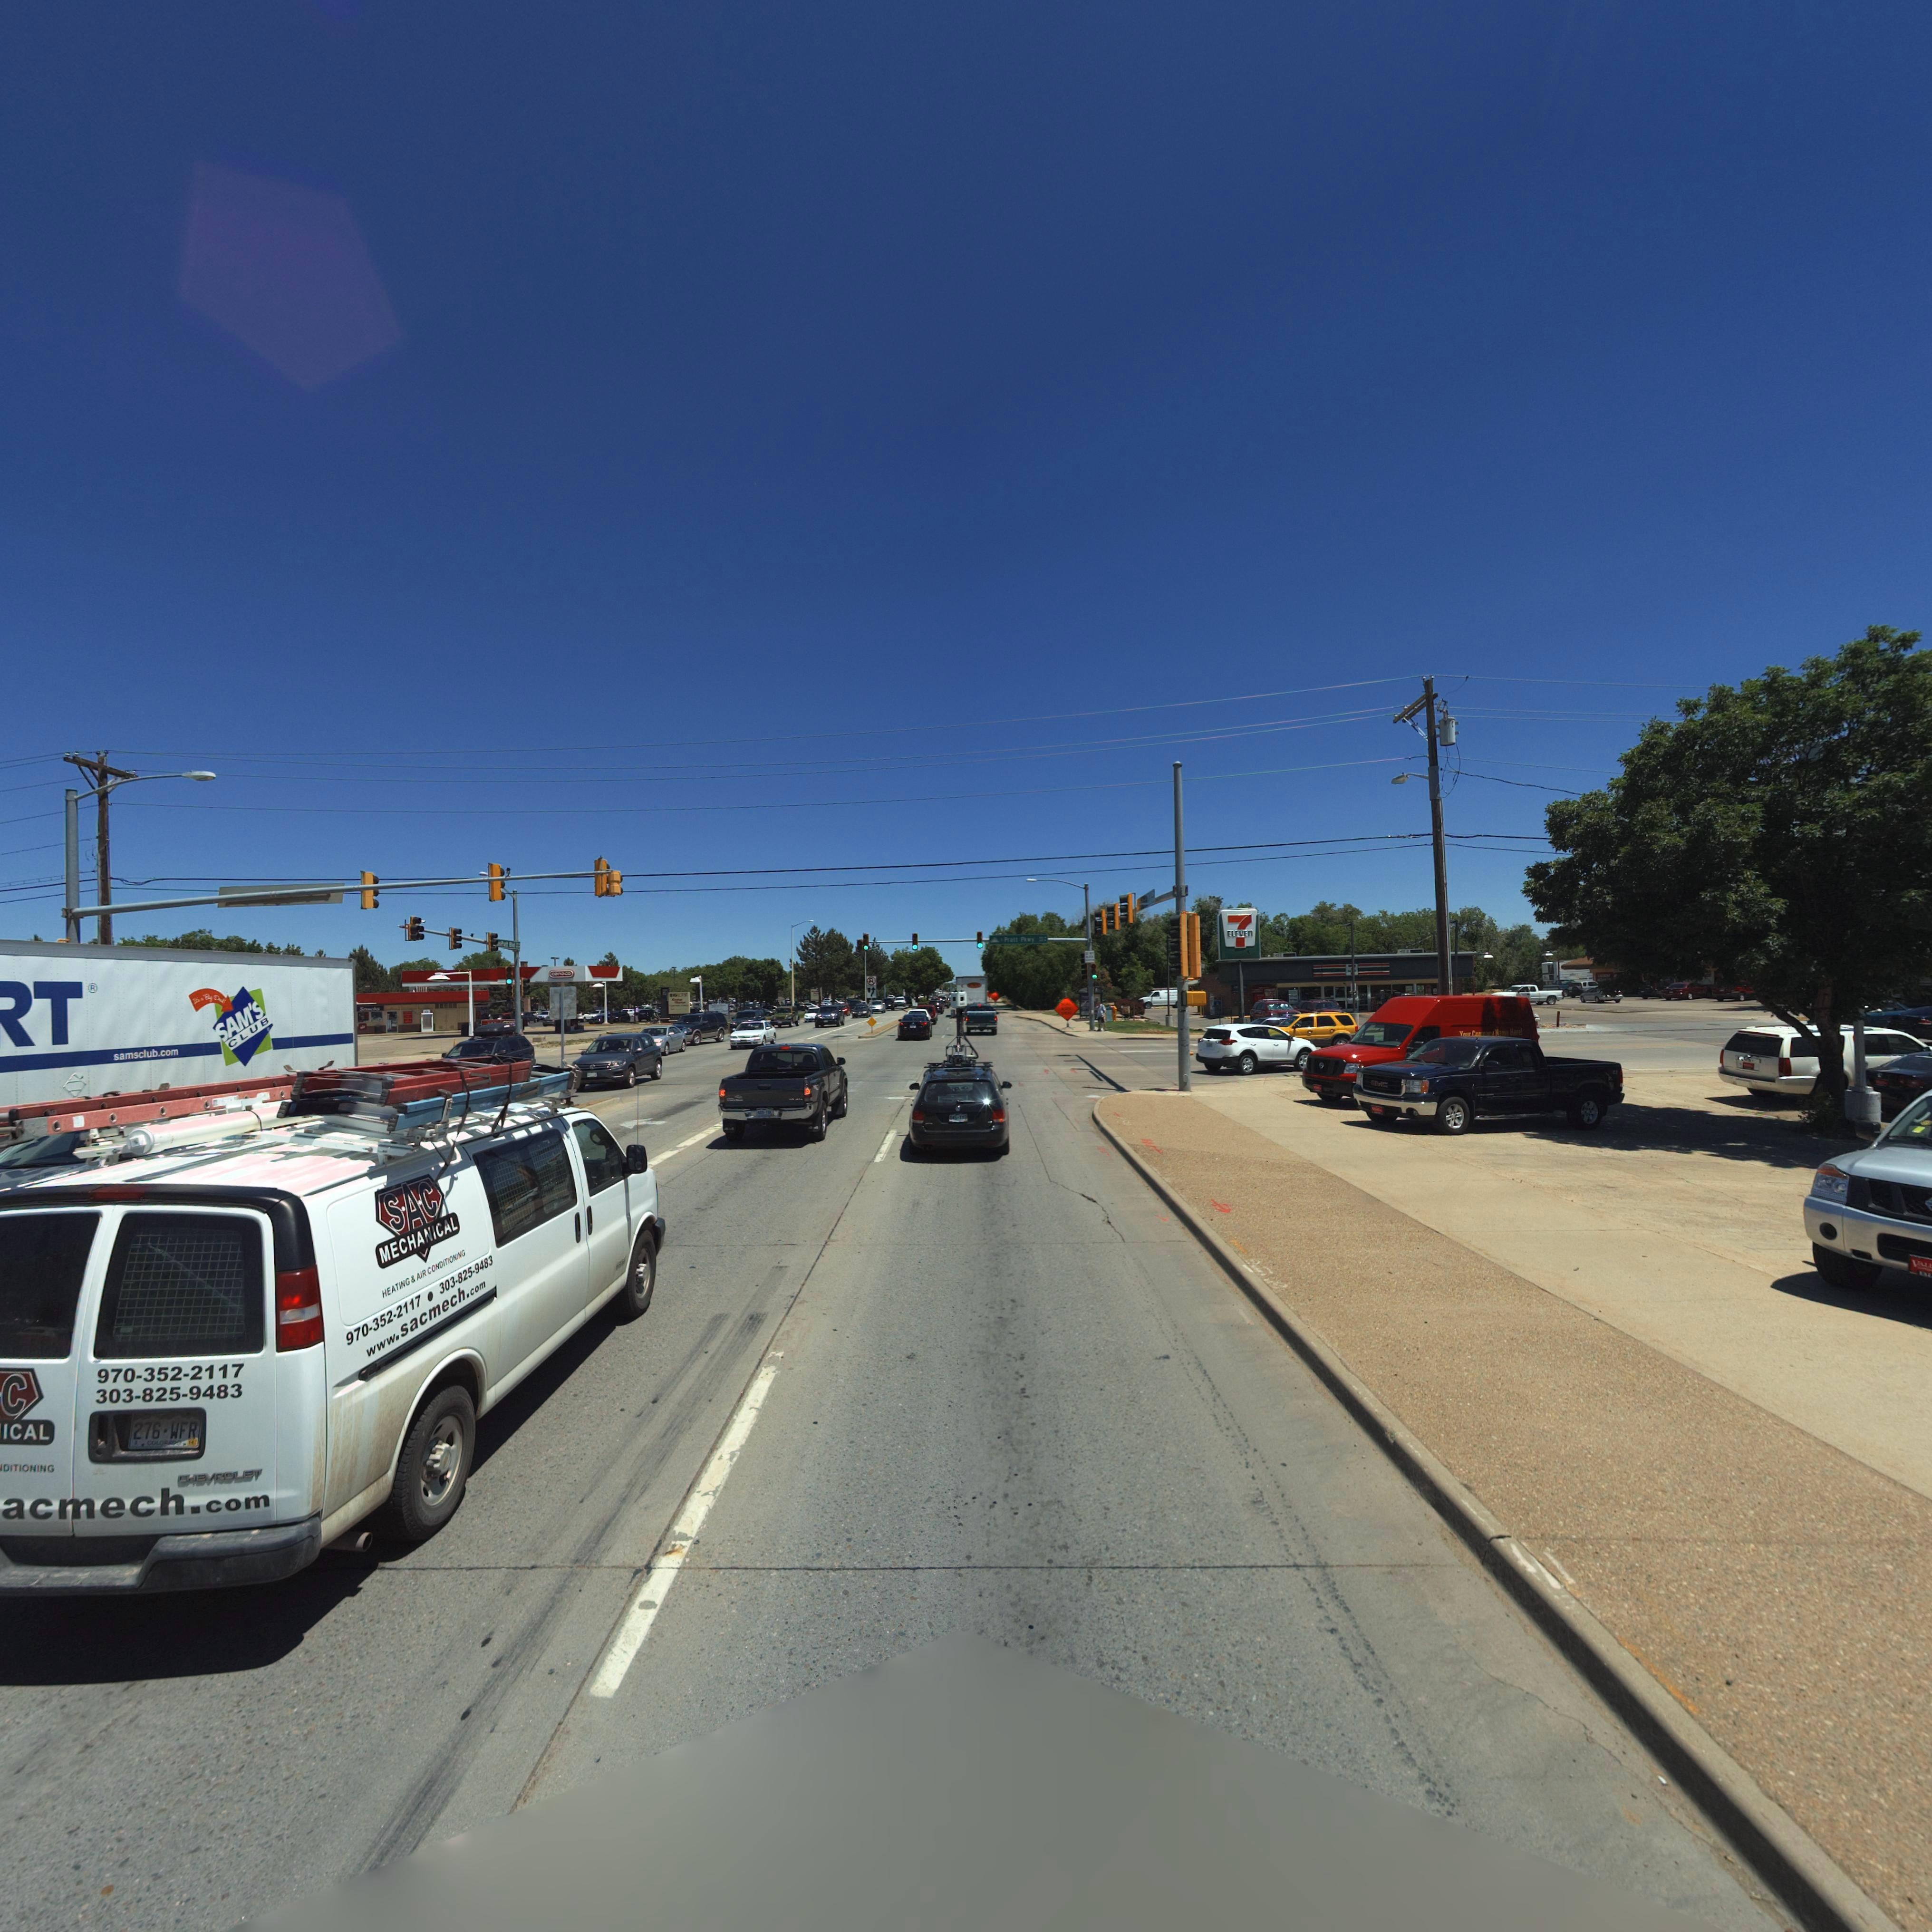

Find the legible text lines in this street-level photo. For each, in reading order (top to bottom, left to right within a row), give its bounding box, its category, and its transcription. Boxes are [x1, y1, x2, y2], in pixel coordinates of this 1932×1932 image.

[1227, 914, 1252, 947] BusinessName: 7
[1227, 930, 1253, 937] BusinessName: ELEVEn
[1004, 937, 1035, 943] StreetName: Pratt P*wy
[551, 972, 571, 976] BusinessName: conoco
[669, 993, 686, 997] BusinessName: **G *O*S